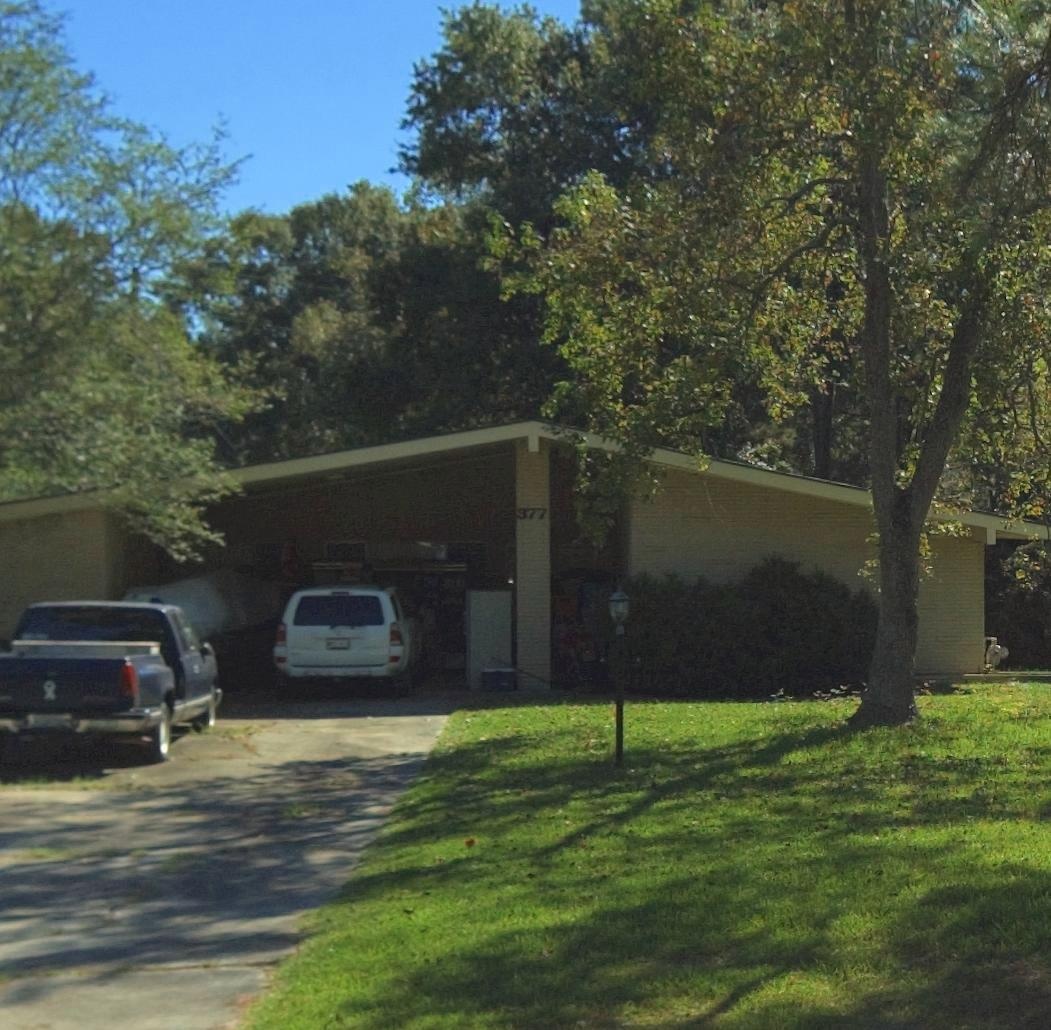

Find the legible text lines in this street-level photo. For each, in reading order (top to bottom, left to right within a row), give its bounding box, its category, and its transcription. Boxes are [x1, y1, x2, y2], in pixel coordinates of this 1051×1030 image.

[515, 506, 549, 521] StreetNumber: 377